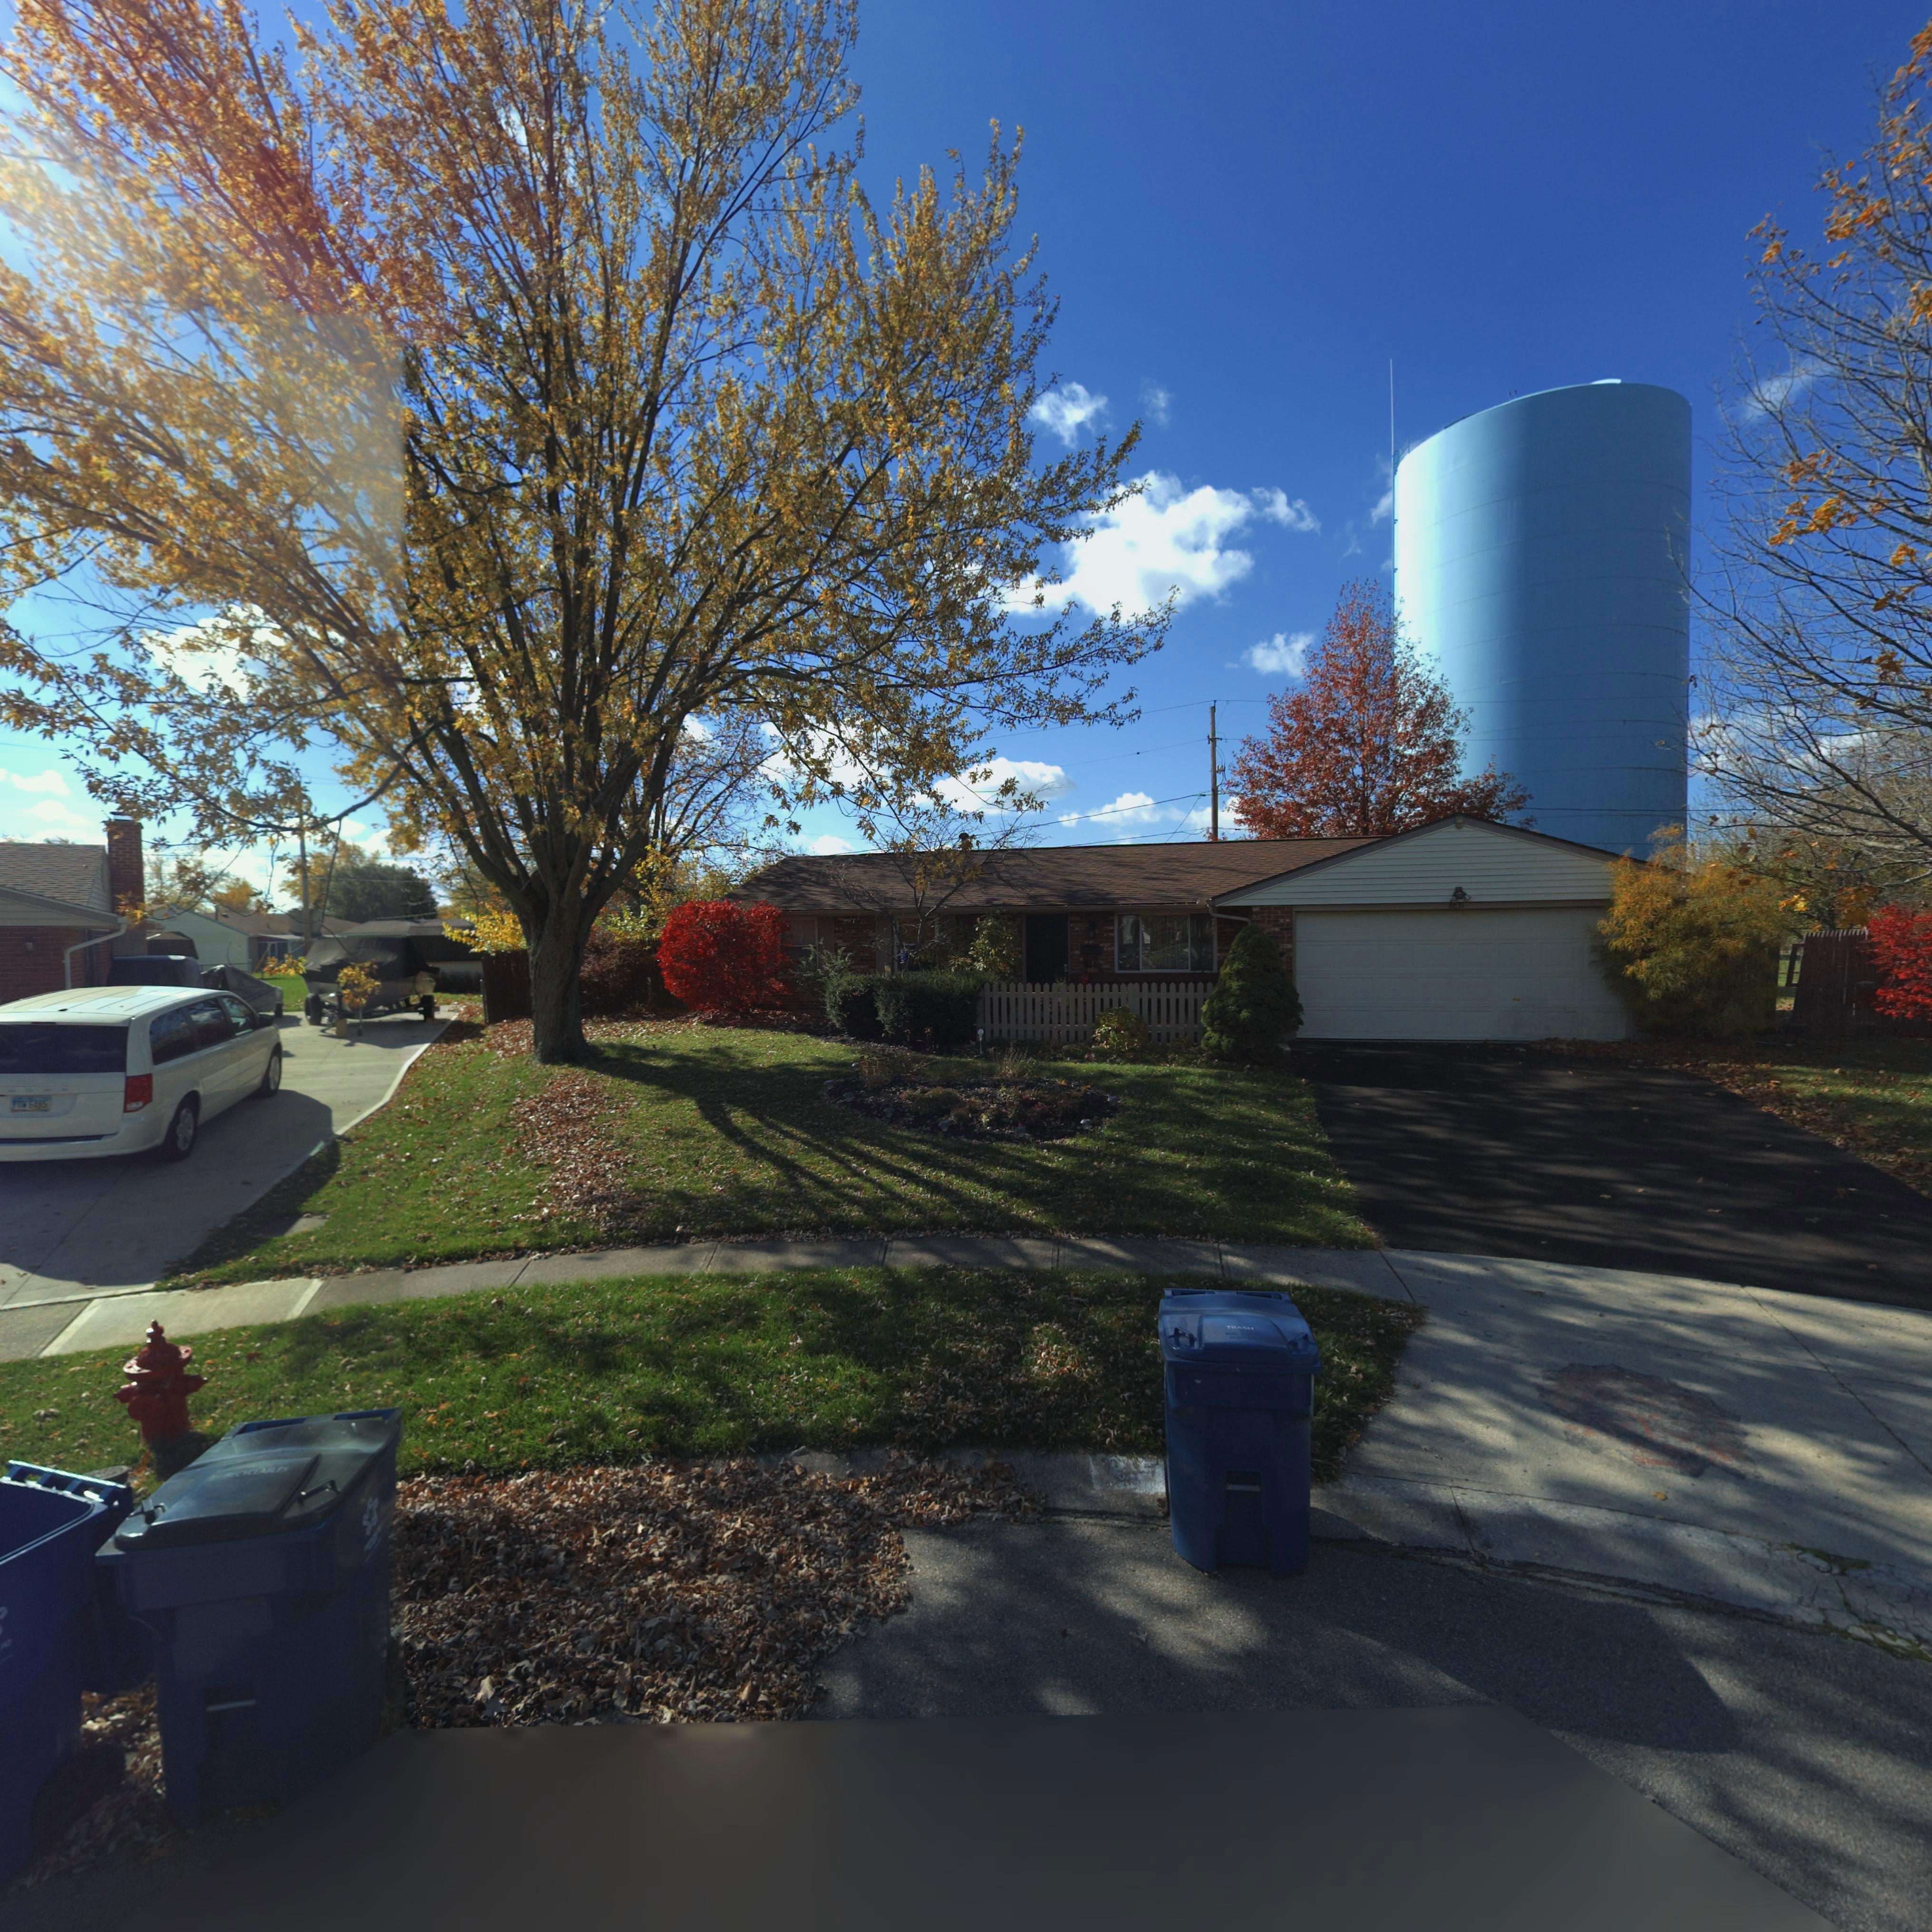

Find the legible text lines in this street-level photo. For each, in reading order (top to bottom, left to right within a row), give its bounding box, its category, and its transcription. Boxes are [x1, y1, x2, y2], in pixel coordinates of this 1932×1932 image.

[1447, 902, 1465, 910] StreetNumber: 6631